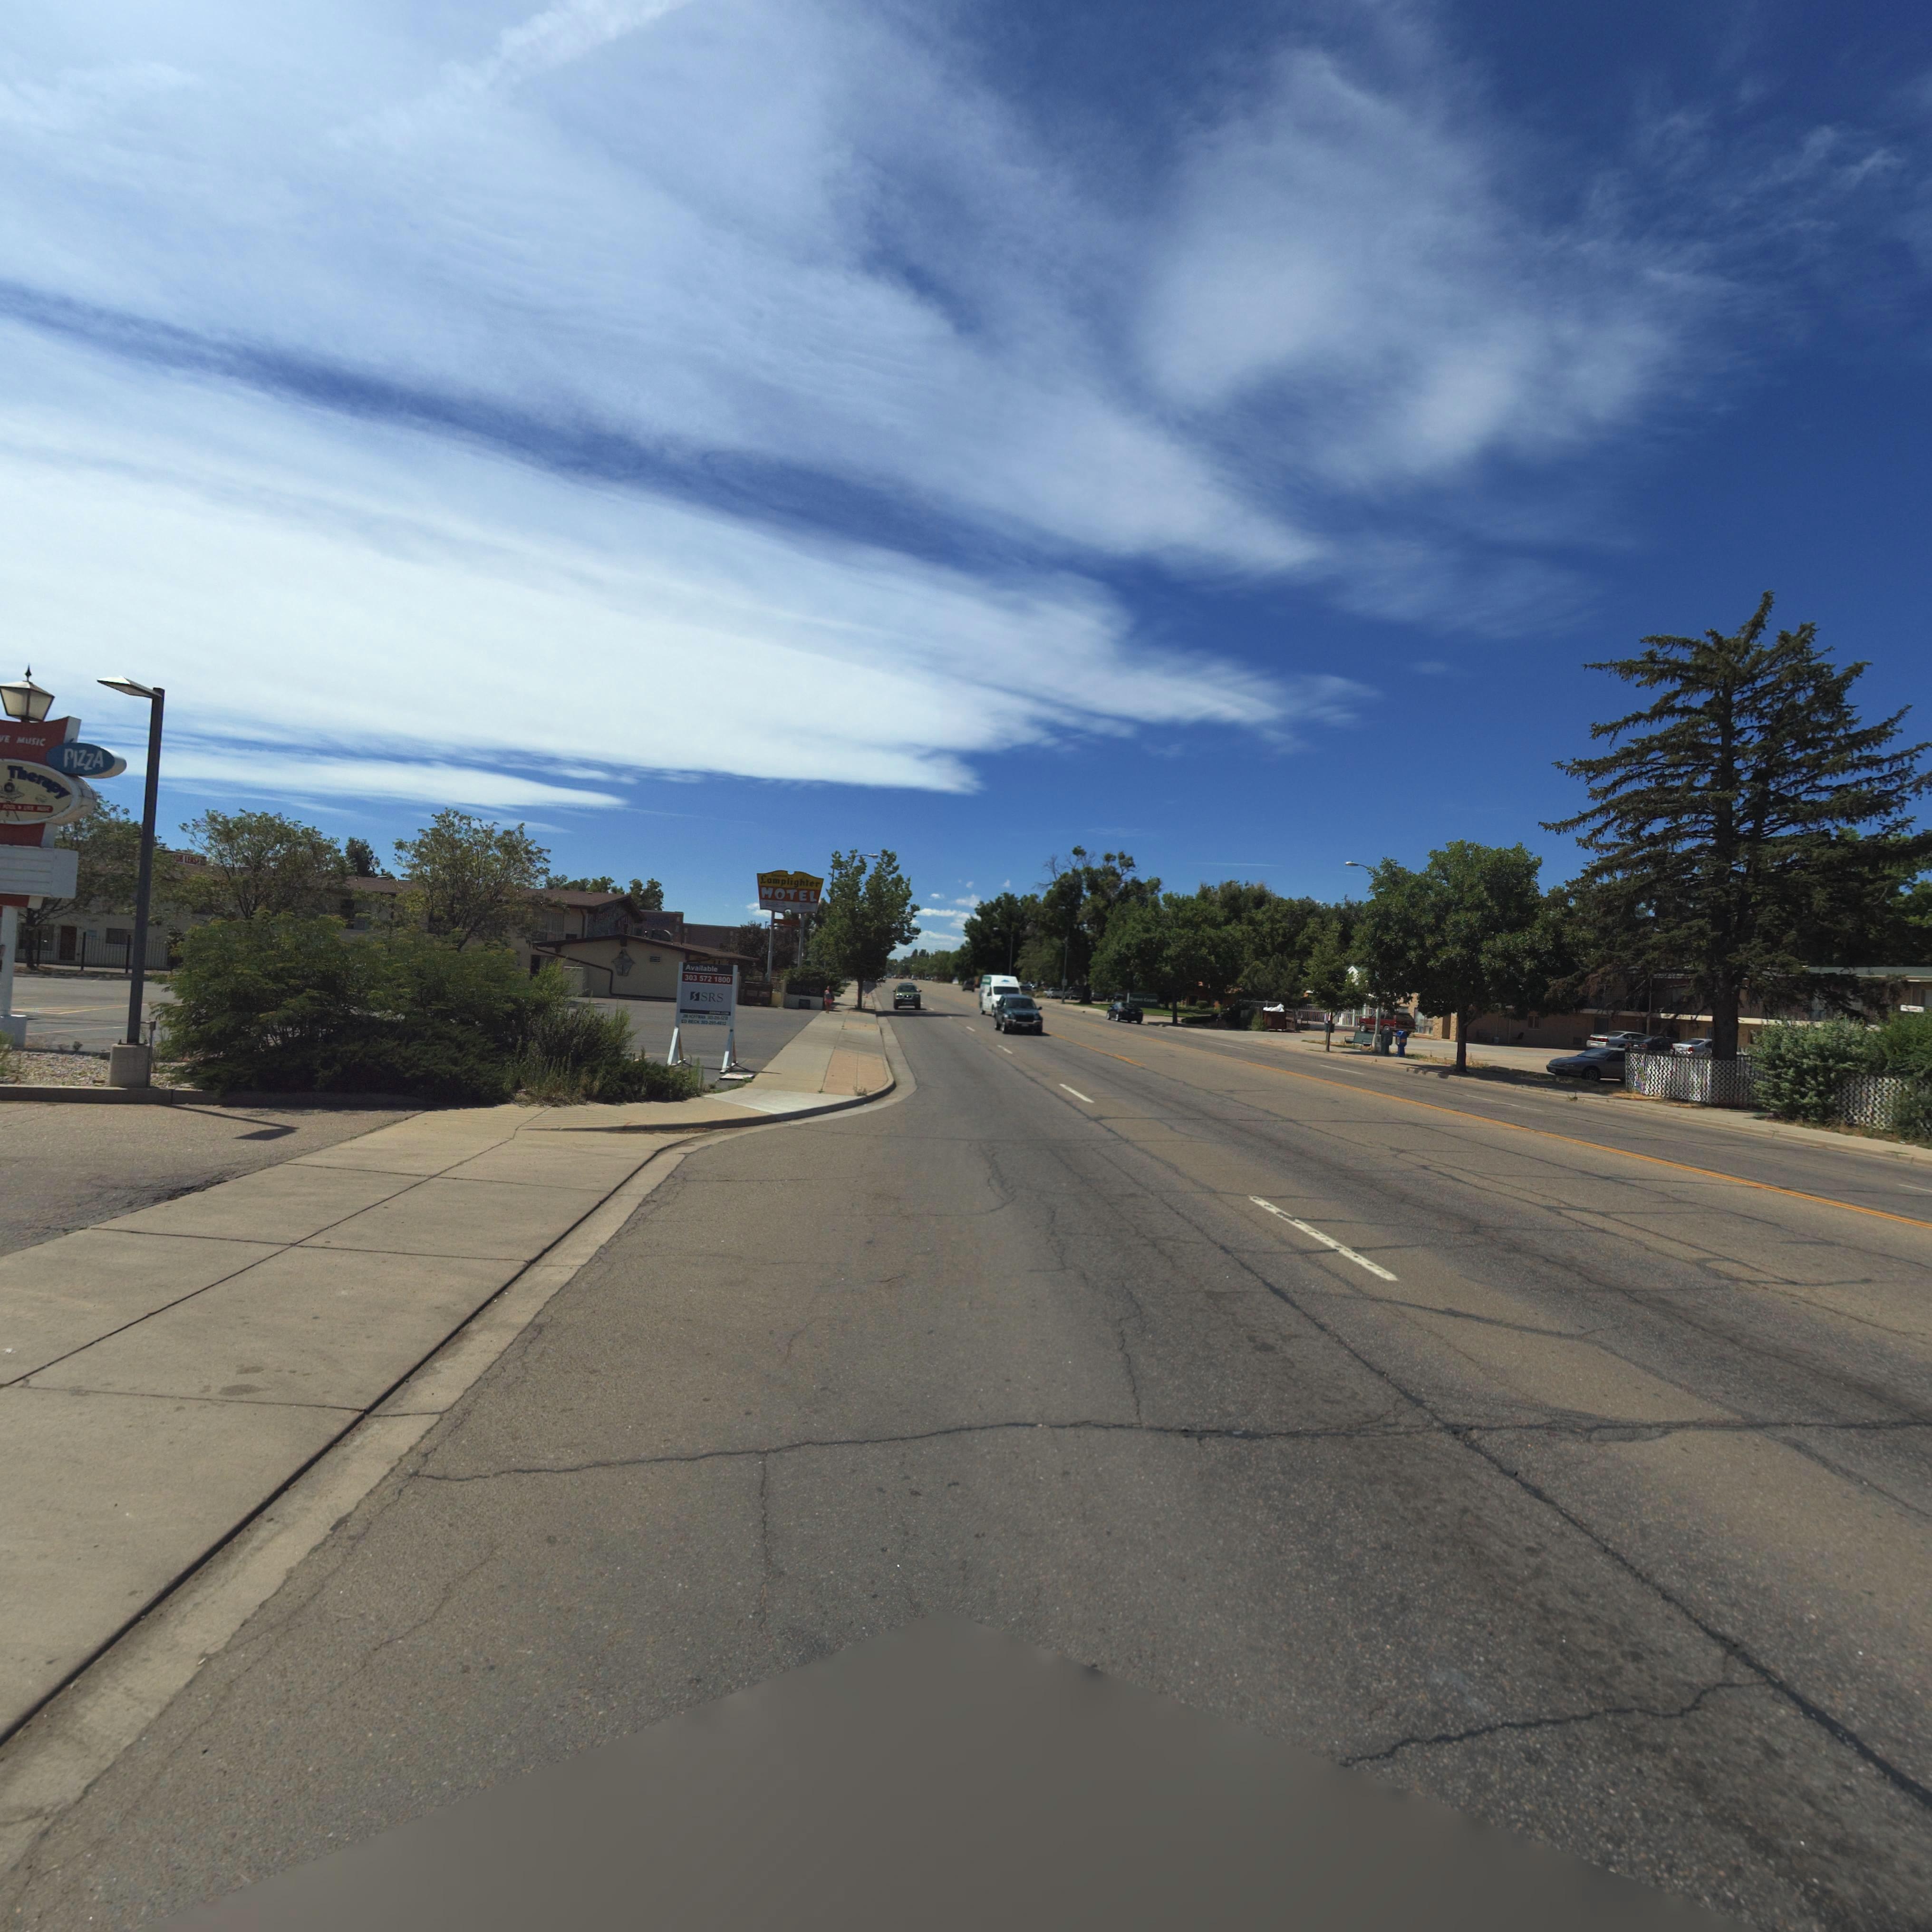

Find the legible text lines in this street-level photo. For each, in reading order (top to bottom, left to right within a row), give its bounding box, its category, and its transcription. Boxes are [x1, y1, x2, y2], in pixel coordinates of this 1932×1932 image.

[6, 764, 72, 800] BusinessName: Ther*py
[759, 874, 821, 888] BusinessName: Lamplighter
[761, 887, 816, 902] BusinessName: MOTEL